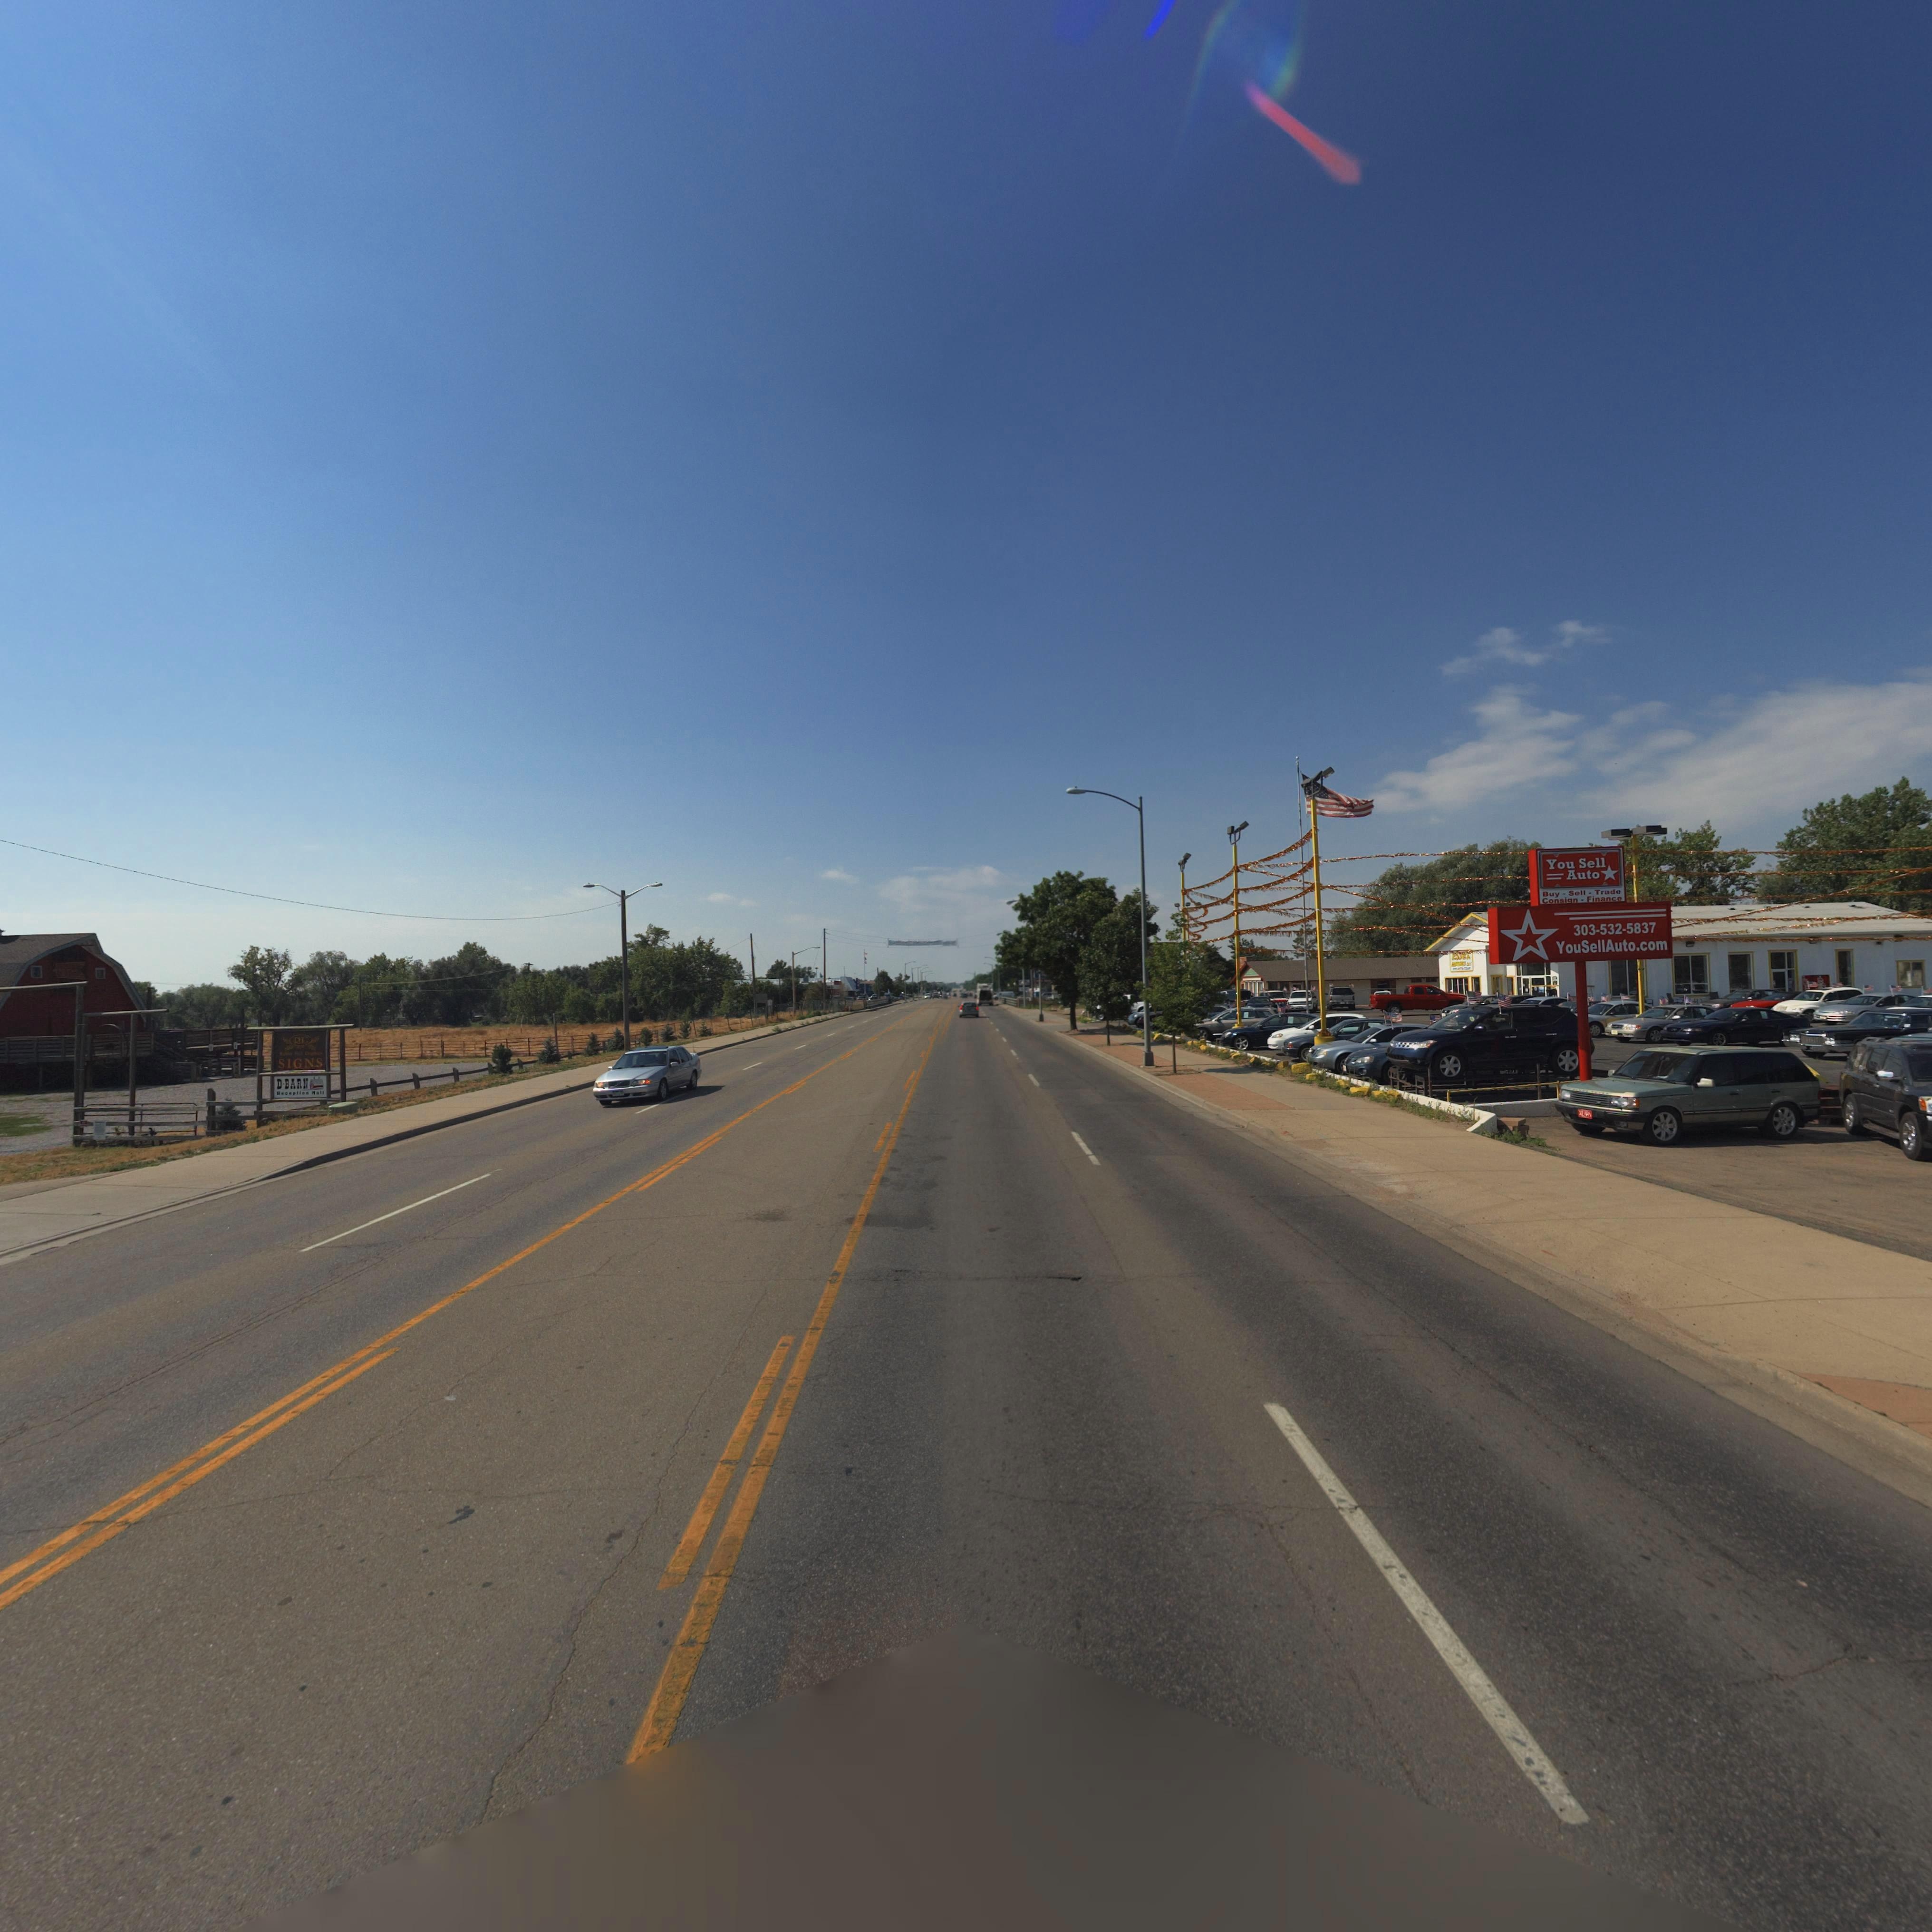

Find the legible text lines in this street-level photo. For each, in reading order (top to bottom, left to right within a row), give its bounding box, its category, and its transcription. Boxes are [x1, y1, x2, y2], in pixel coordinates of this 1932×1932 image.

[1546, 857, 1606, 869] BusinessName: You Sell
[1566, 869, 1600, 879] BusinessName: Auto
[276, 1078, 308, 1090] BusinessName: D*BARN